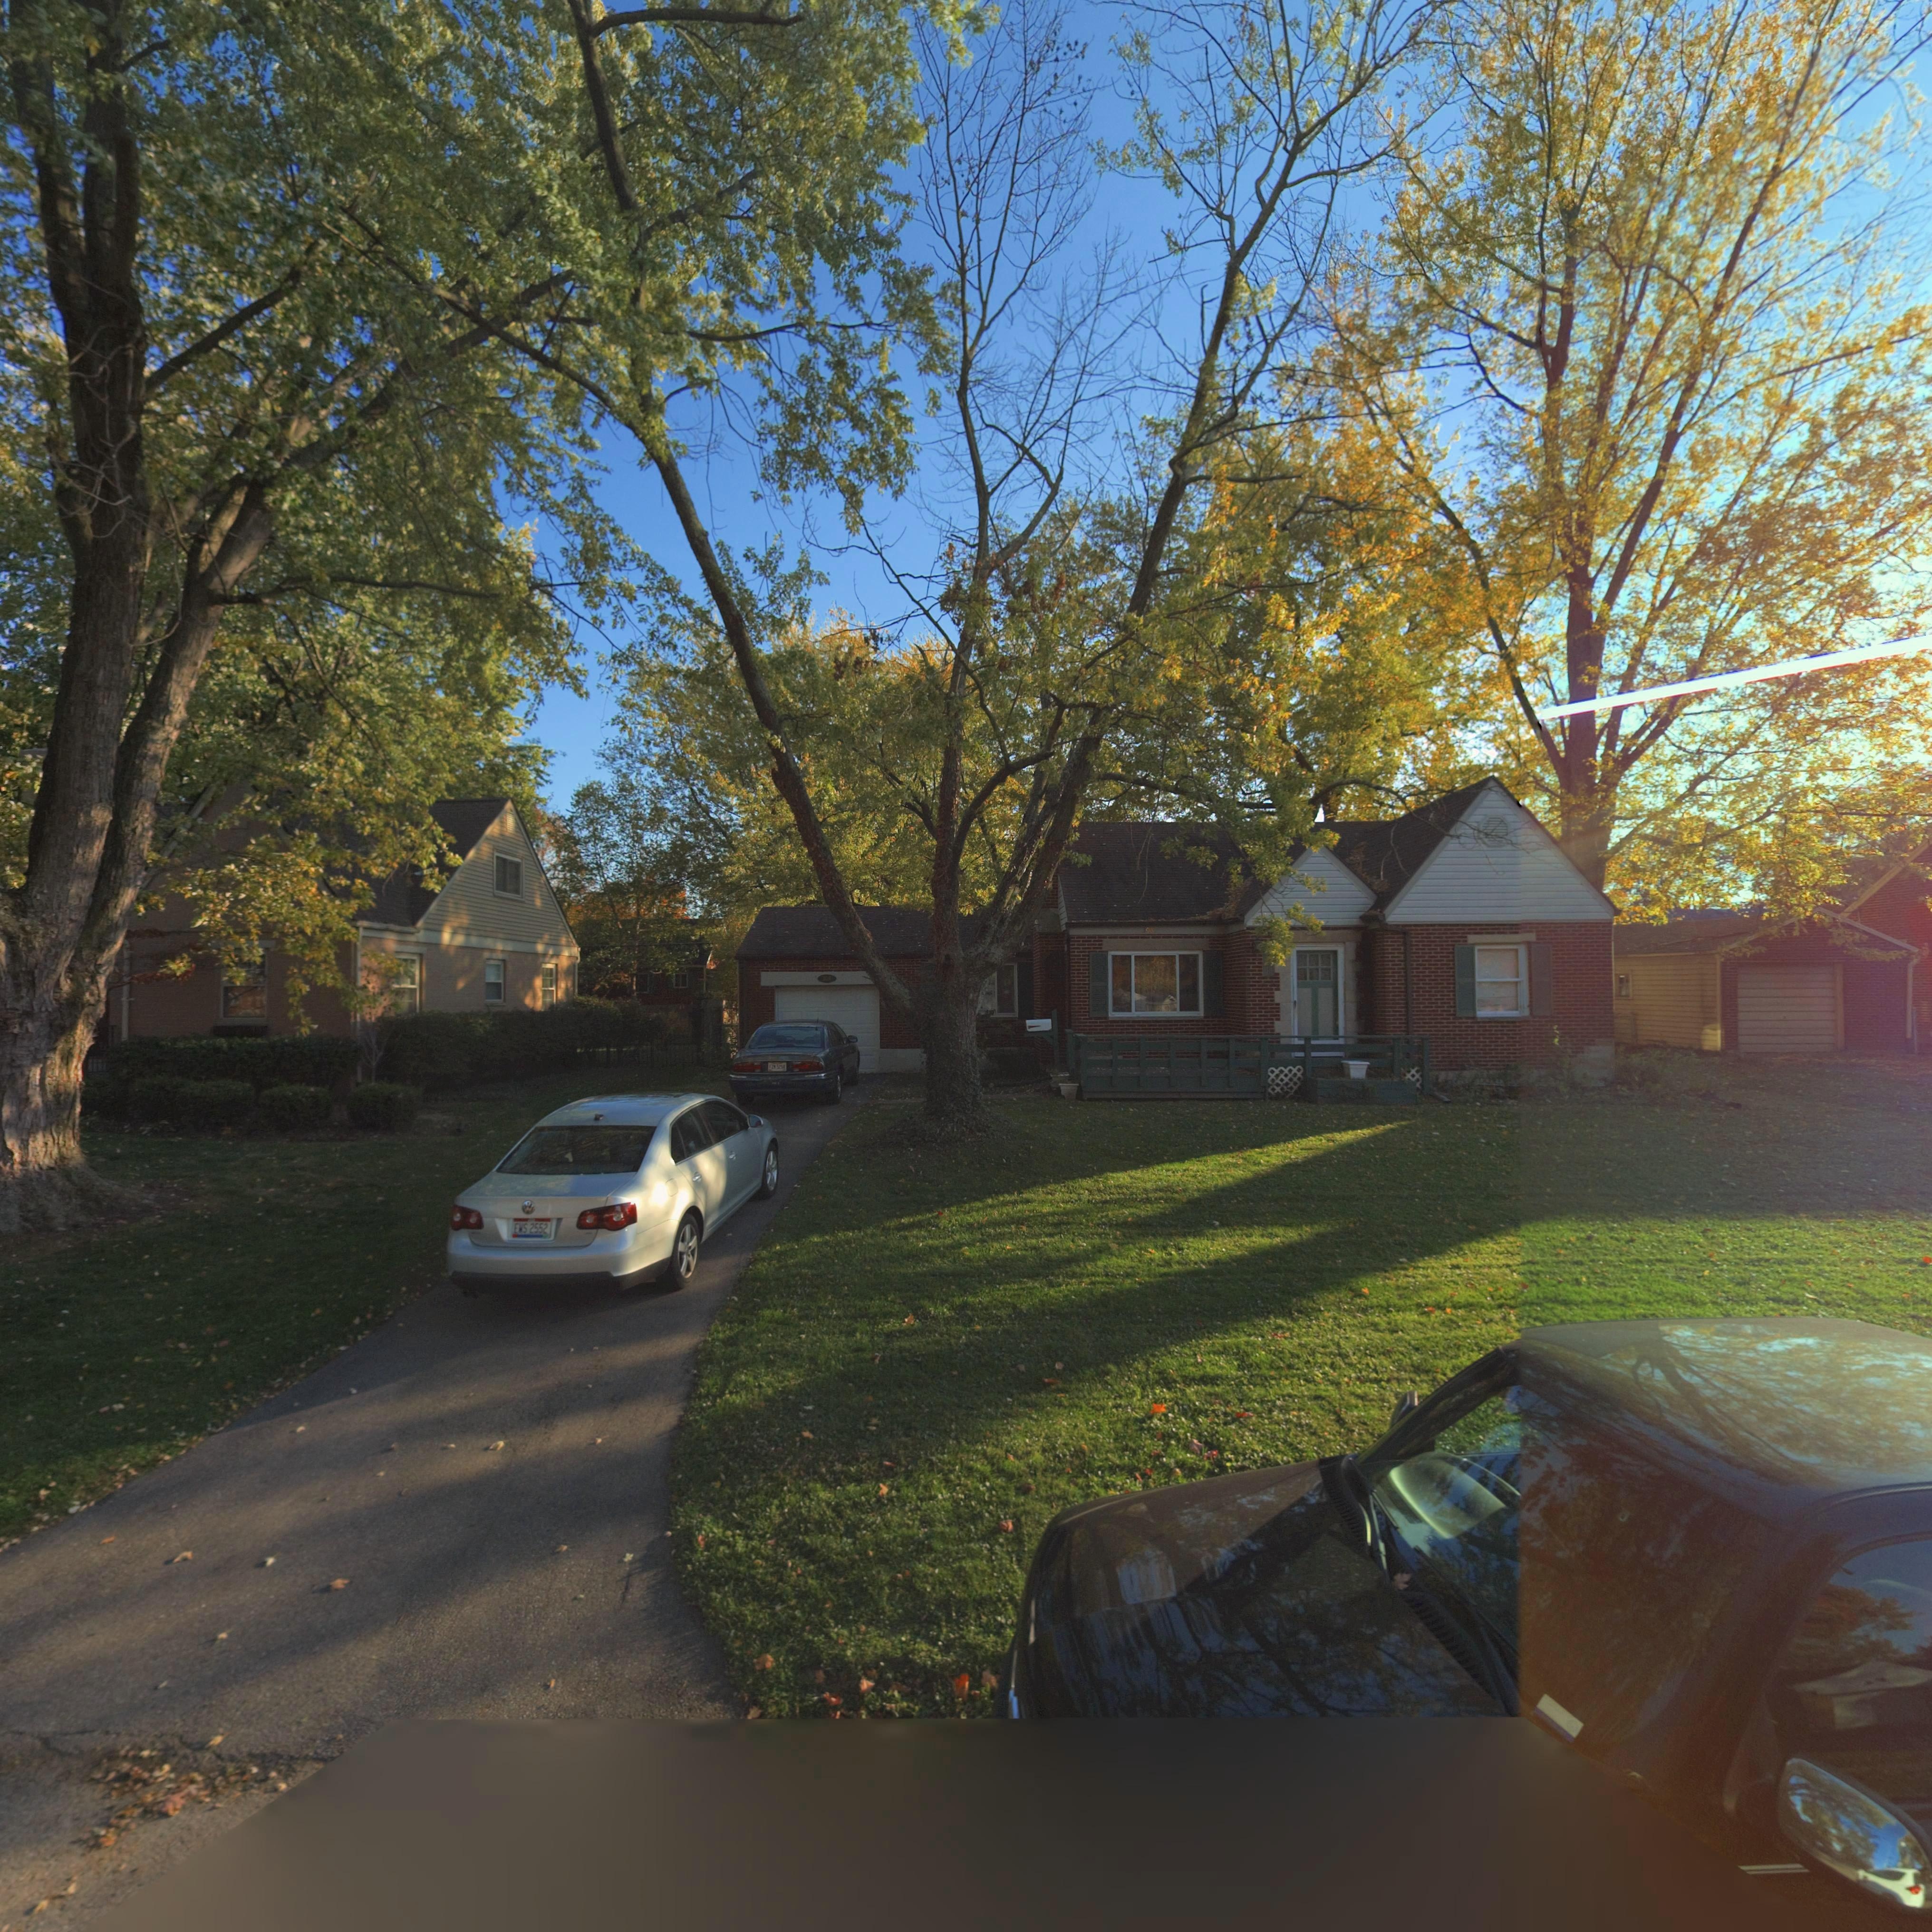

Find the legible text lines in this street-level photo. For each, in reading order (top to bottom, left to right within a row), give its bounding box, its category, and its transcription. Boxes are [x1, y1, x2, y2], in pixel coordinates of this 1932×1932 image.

[821, 975, 831, 981] StreetNumber: 308